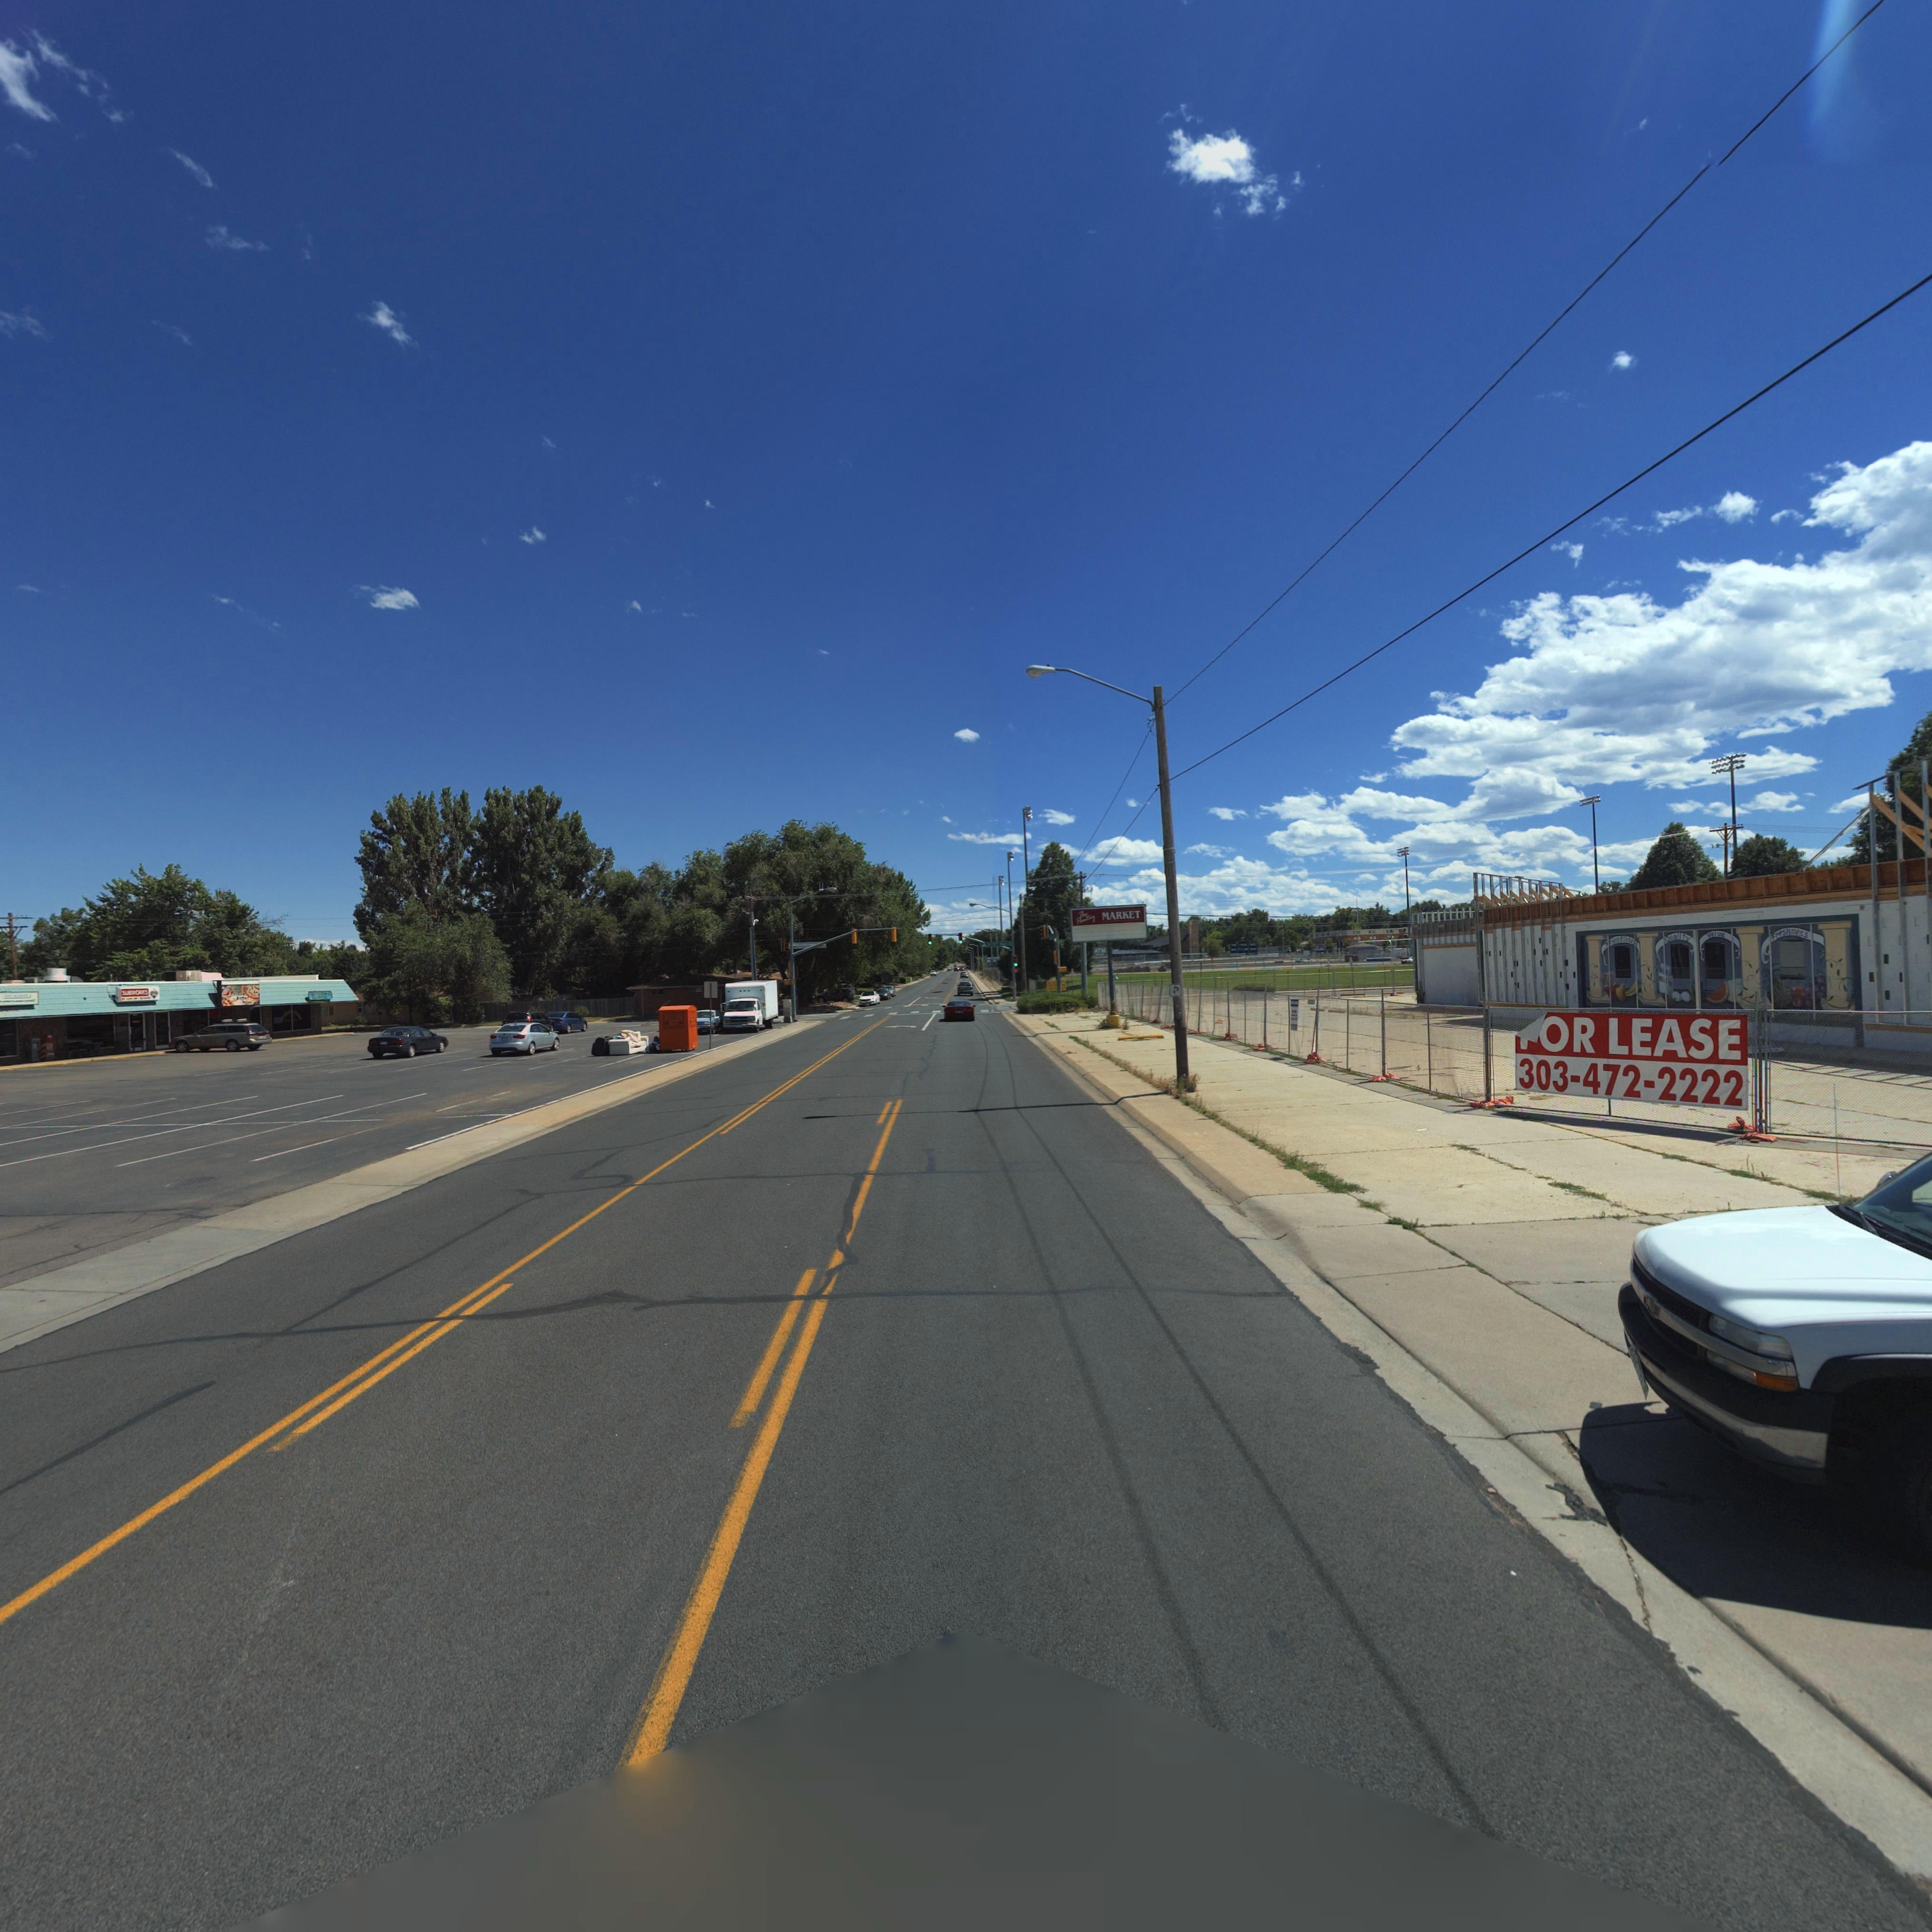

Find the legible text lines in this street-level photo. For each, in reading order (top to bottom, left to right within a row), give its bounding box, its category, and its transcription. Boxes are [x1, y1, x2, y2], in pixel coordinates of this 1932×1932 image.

[987, 942, 1007, 946] StreetName: 11** ***
[121, 989, 148, 996] BusinessName: SUBWORKERS